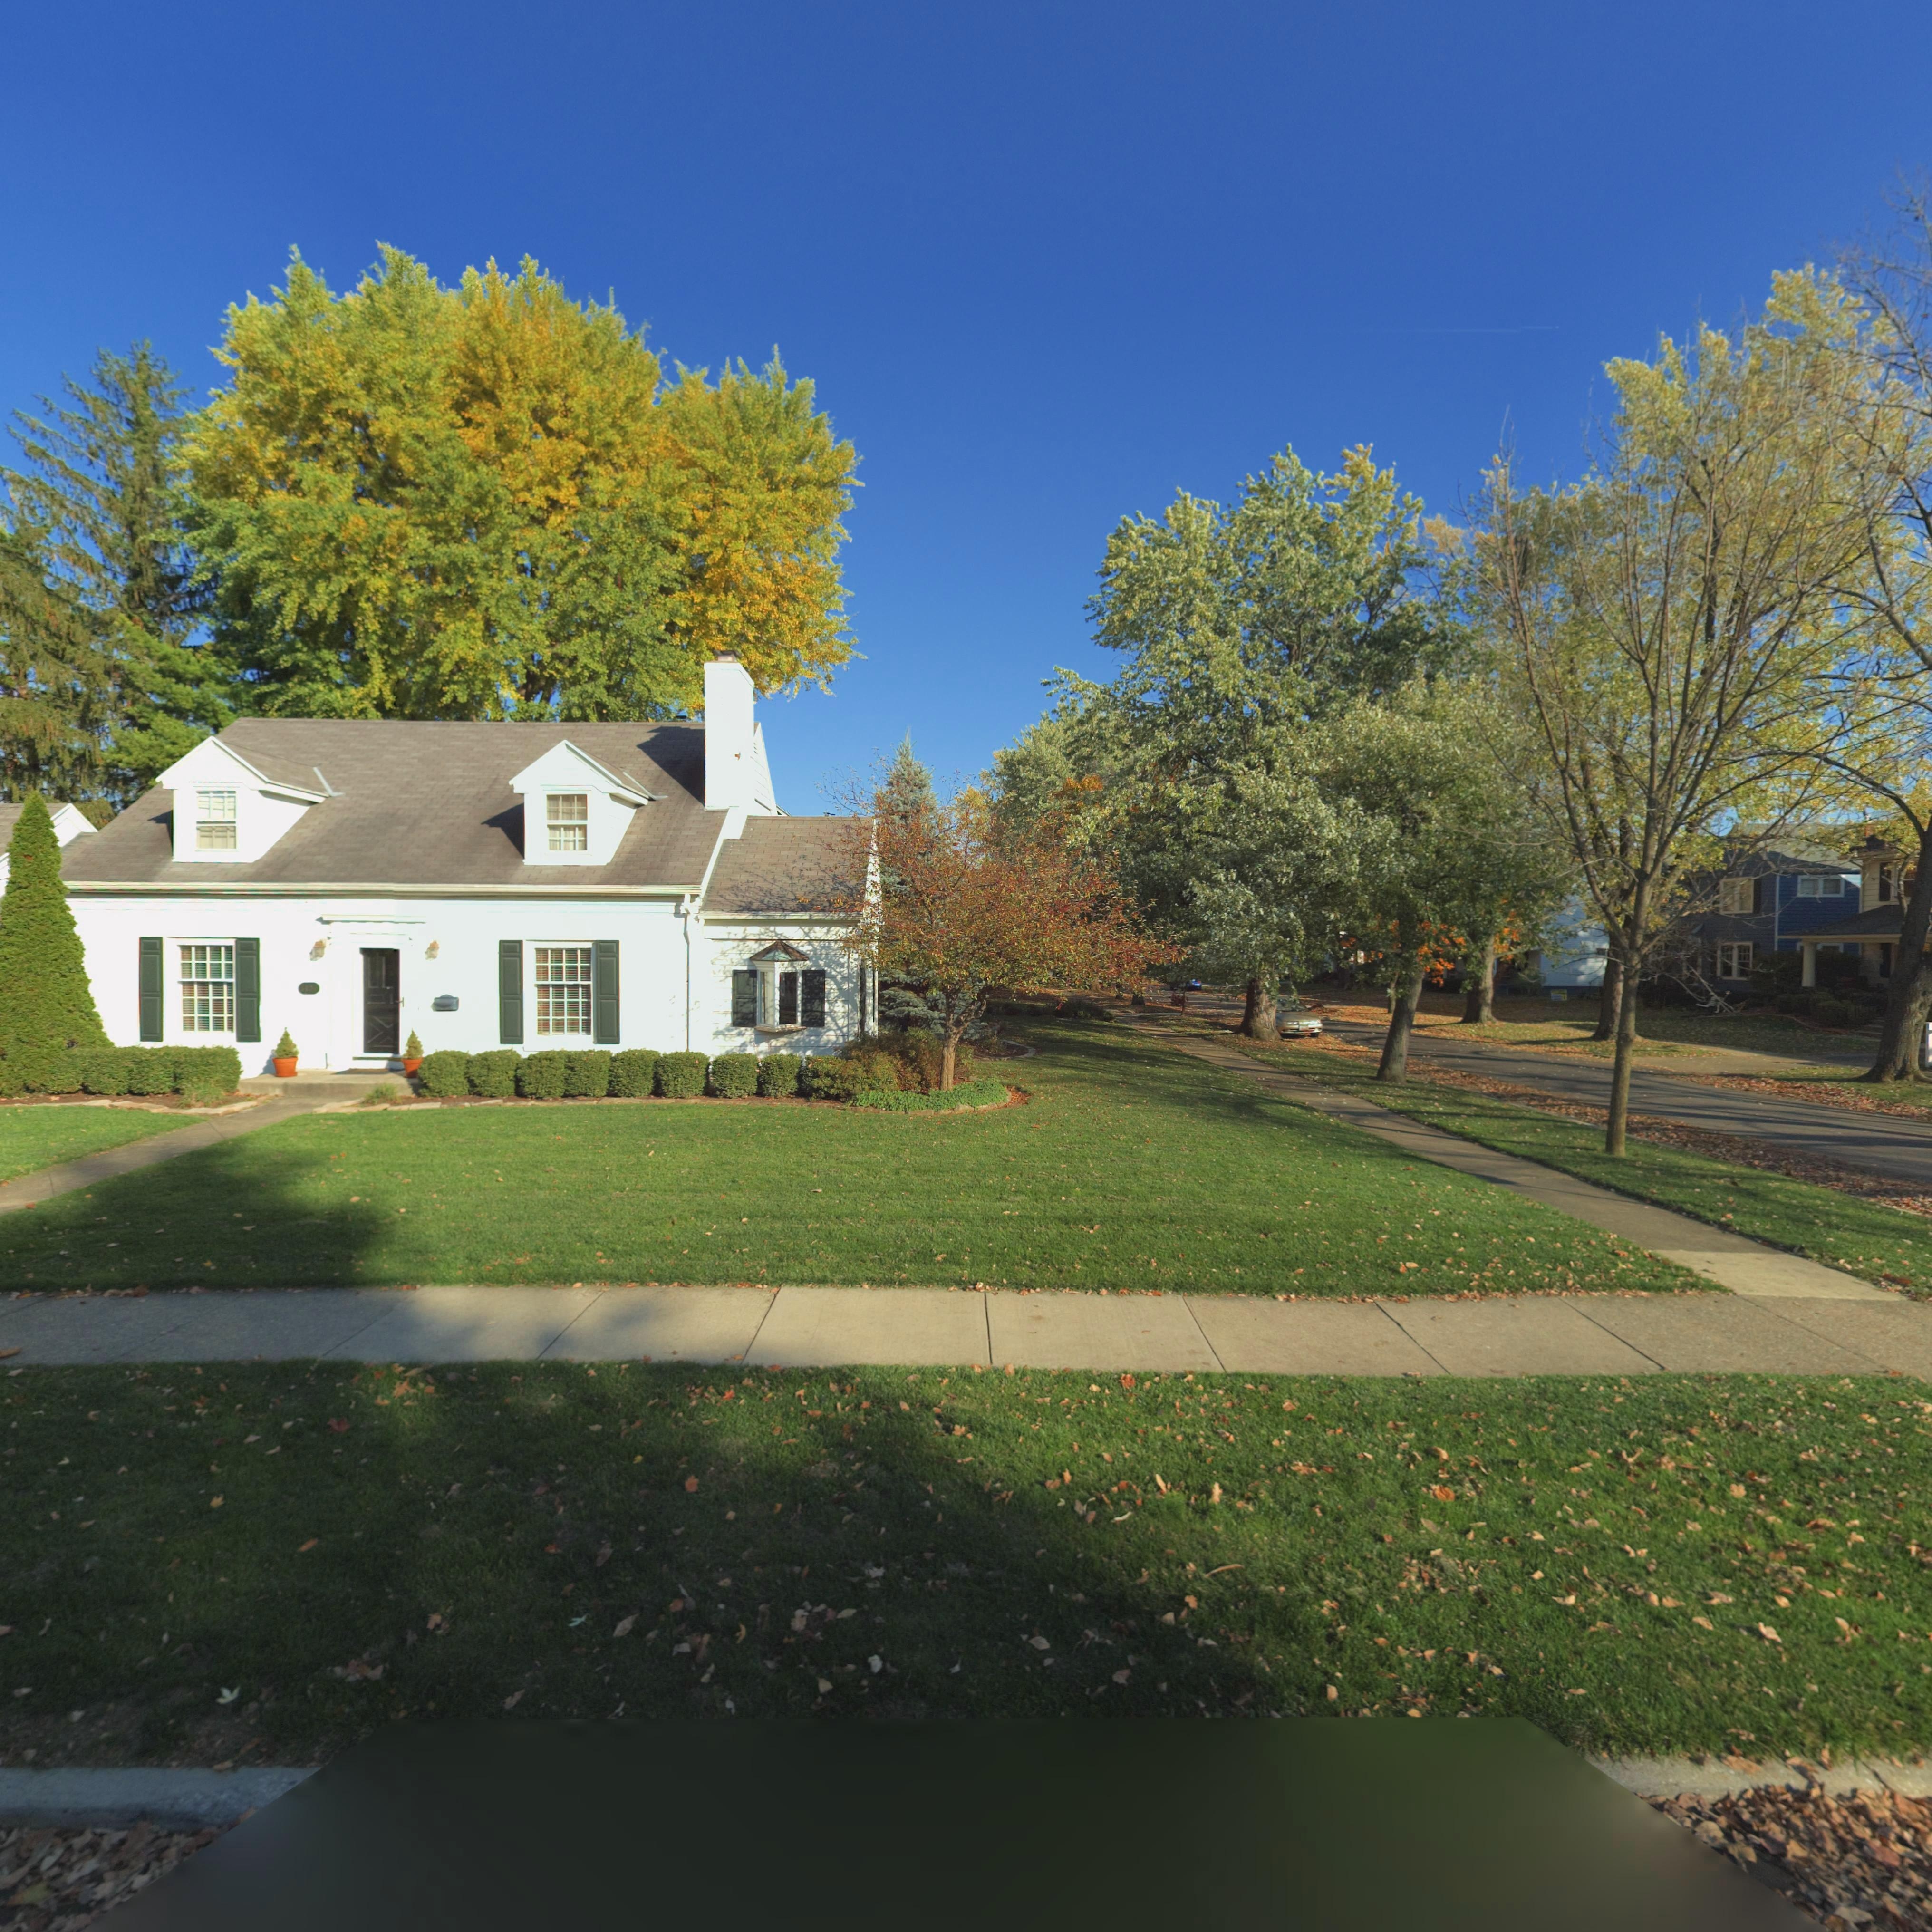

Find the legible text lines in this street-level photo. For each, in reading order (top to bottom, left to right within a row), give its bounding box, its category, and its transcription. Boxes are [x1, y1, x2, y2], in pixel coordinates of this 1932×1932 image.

[299, 984, 317, 992] StreetNumber: 1420